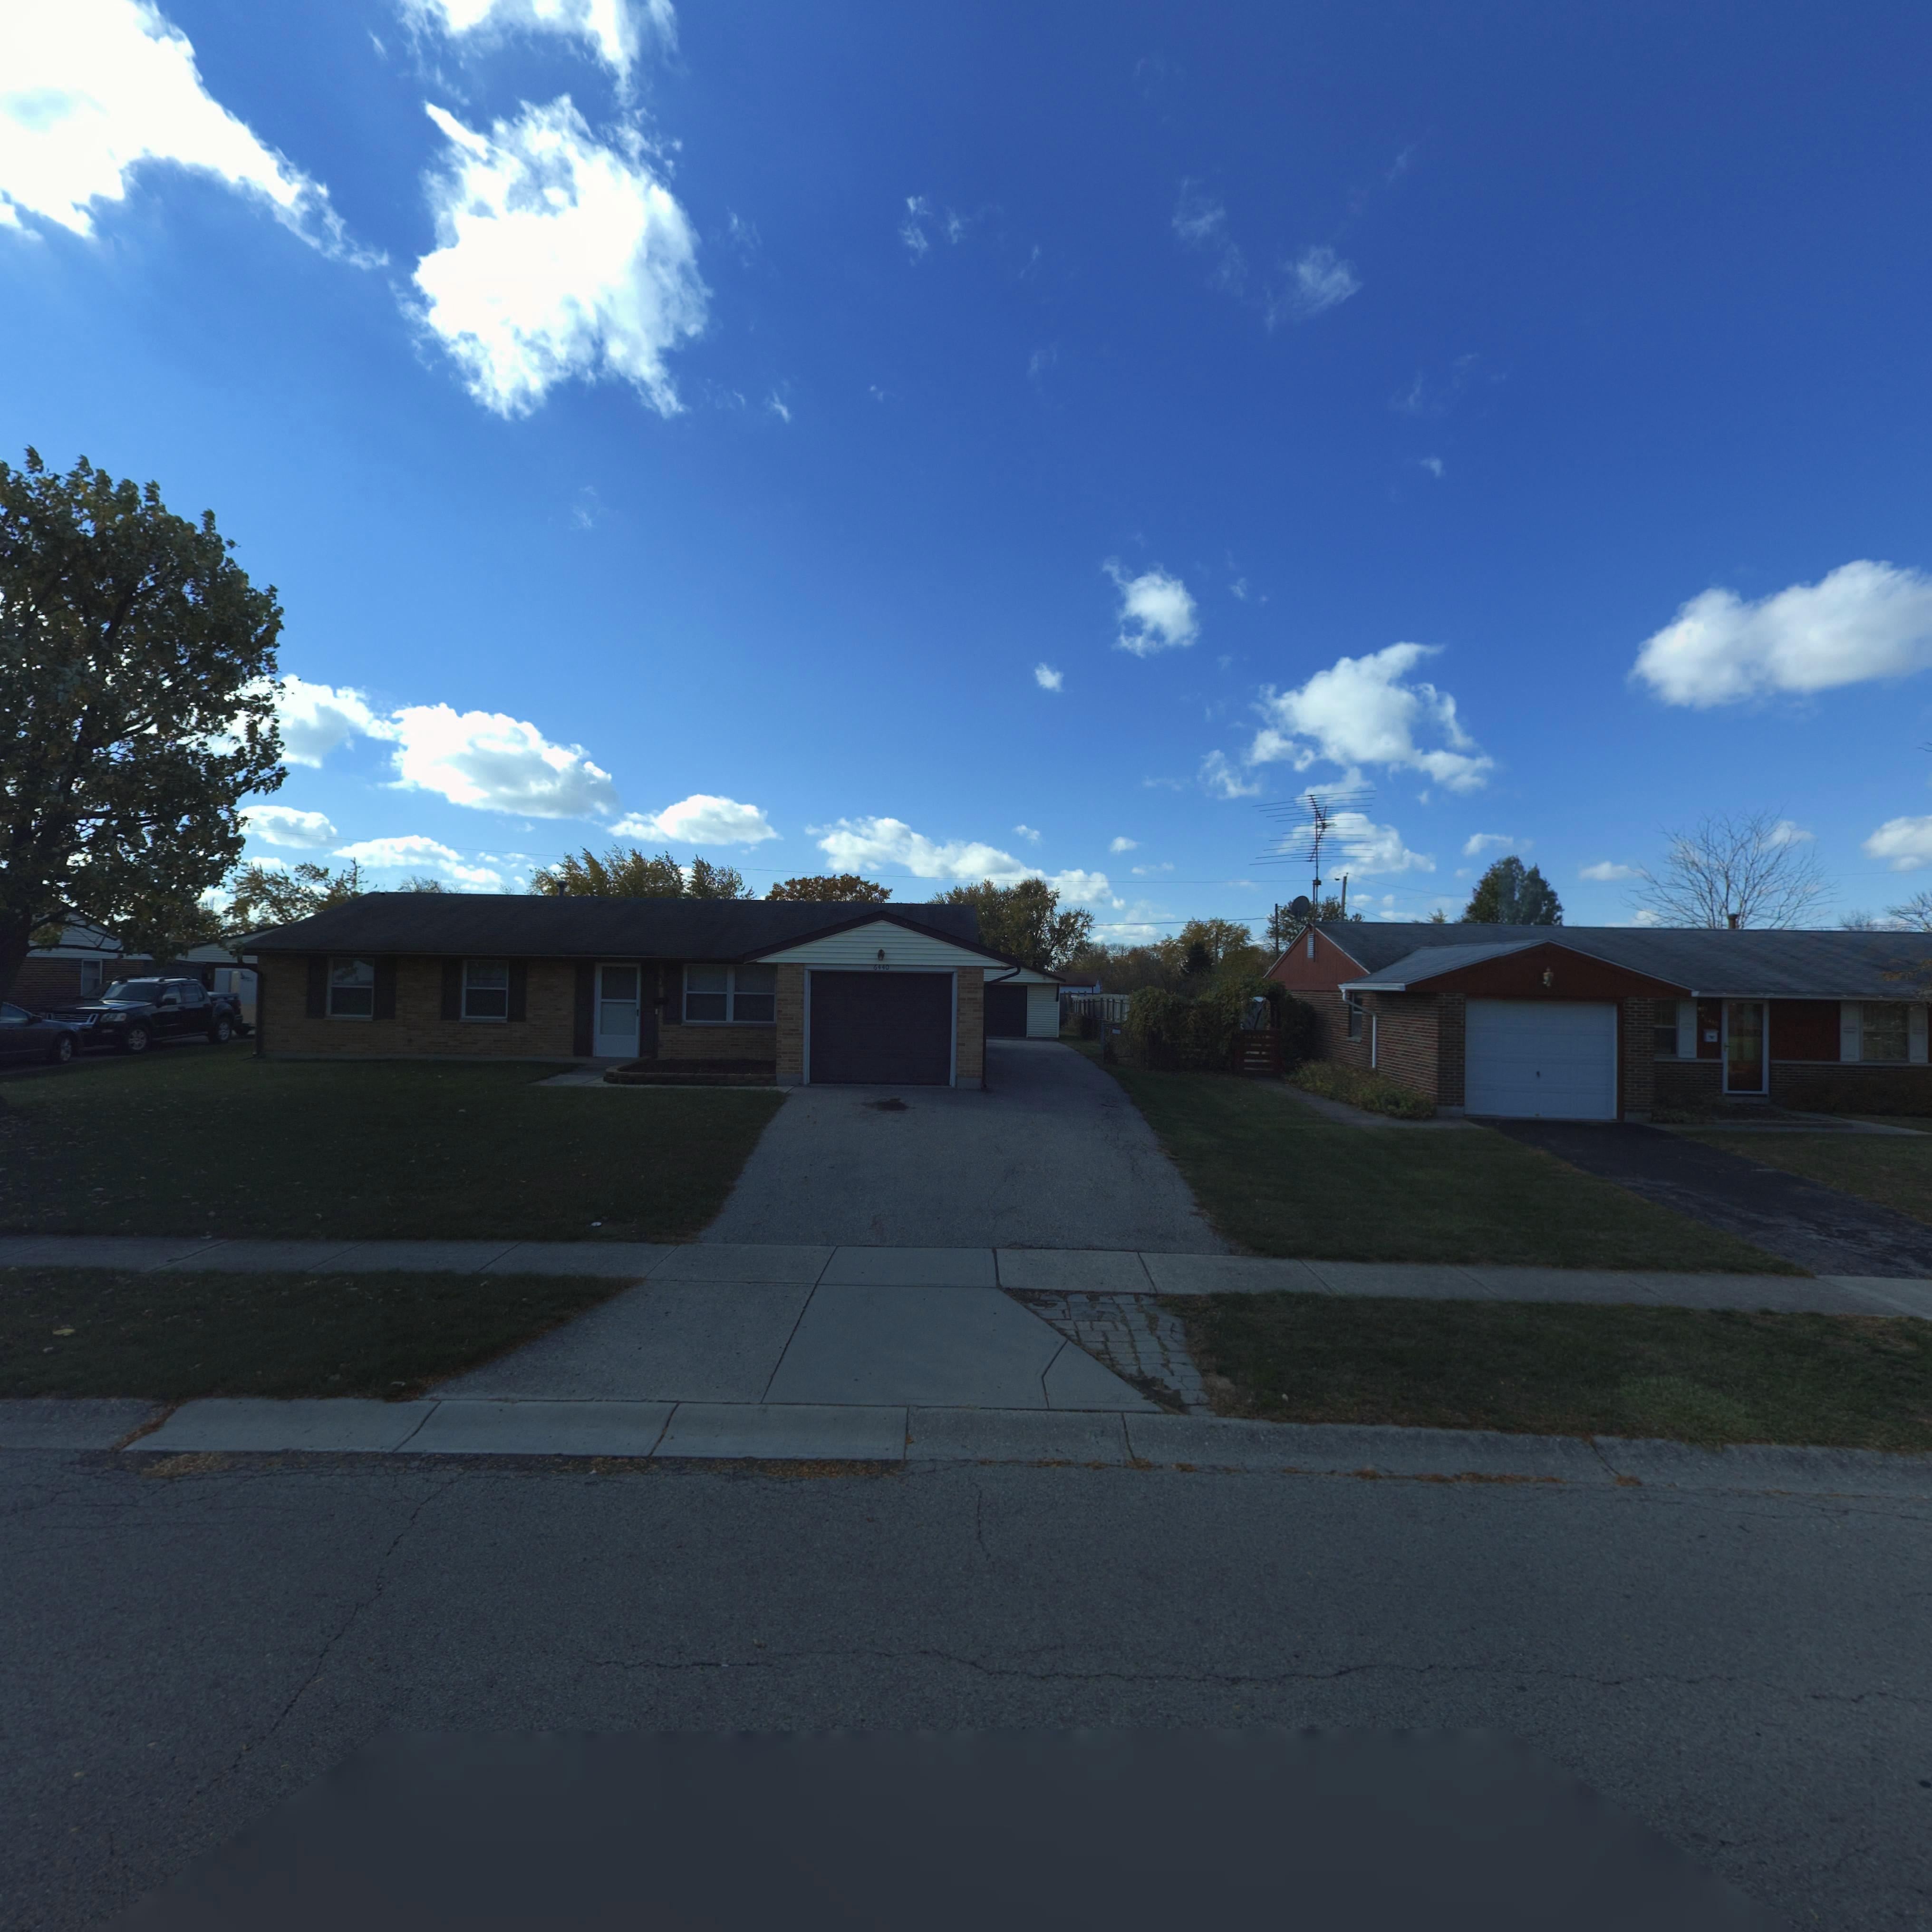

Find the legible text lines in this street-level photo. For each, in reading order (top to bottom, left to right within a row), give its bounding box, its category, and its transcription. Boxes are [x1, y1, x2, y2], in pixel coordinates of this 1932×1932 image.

[873, 964, 889, 970] StreetNumber: 6440
[1702, 1016, 1719, 1027] StreetNumber: *4*0